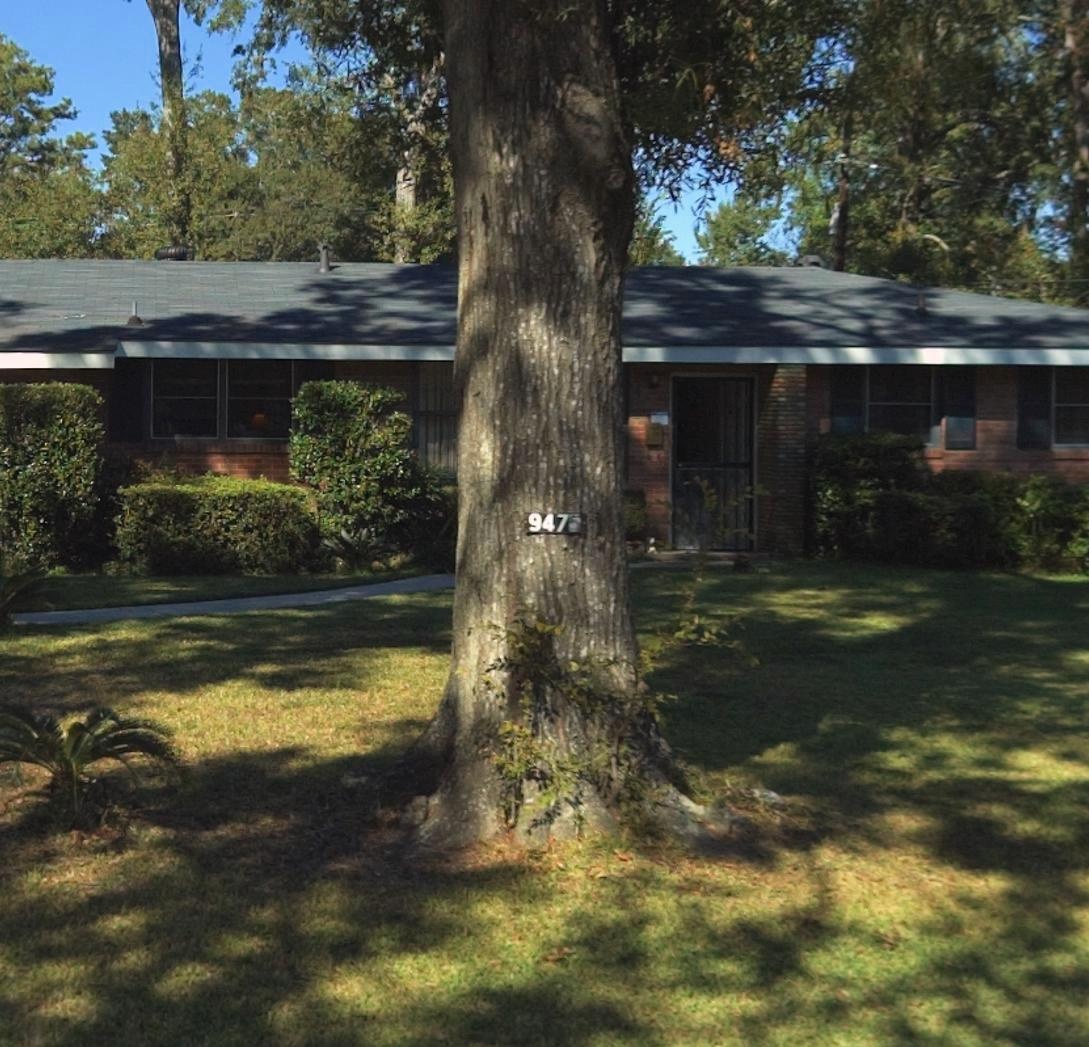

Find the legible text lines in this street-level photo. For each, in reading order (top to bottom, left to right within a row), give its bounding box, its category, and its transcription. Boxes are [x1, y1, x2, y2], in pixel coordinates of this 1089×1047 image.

[526, 511, 582, 533] StreetNumber: 9475